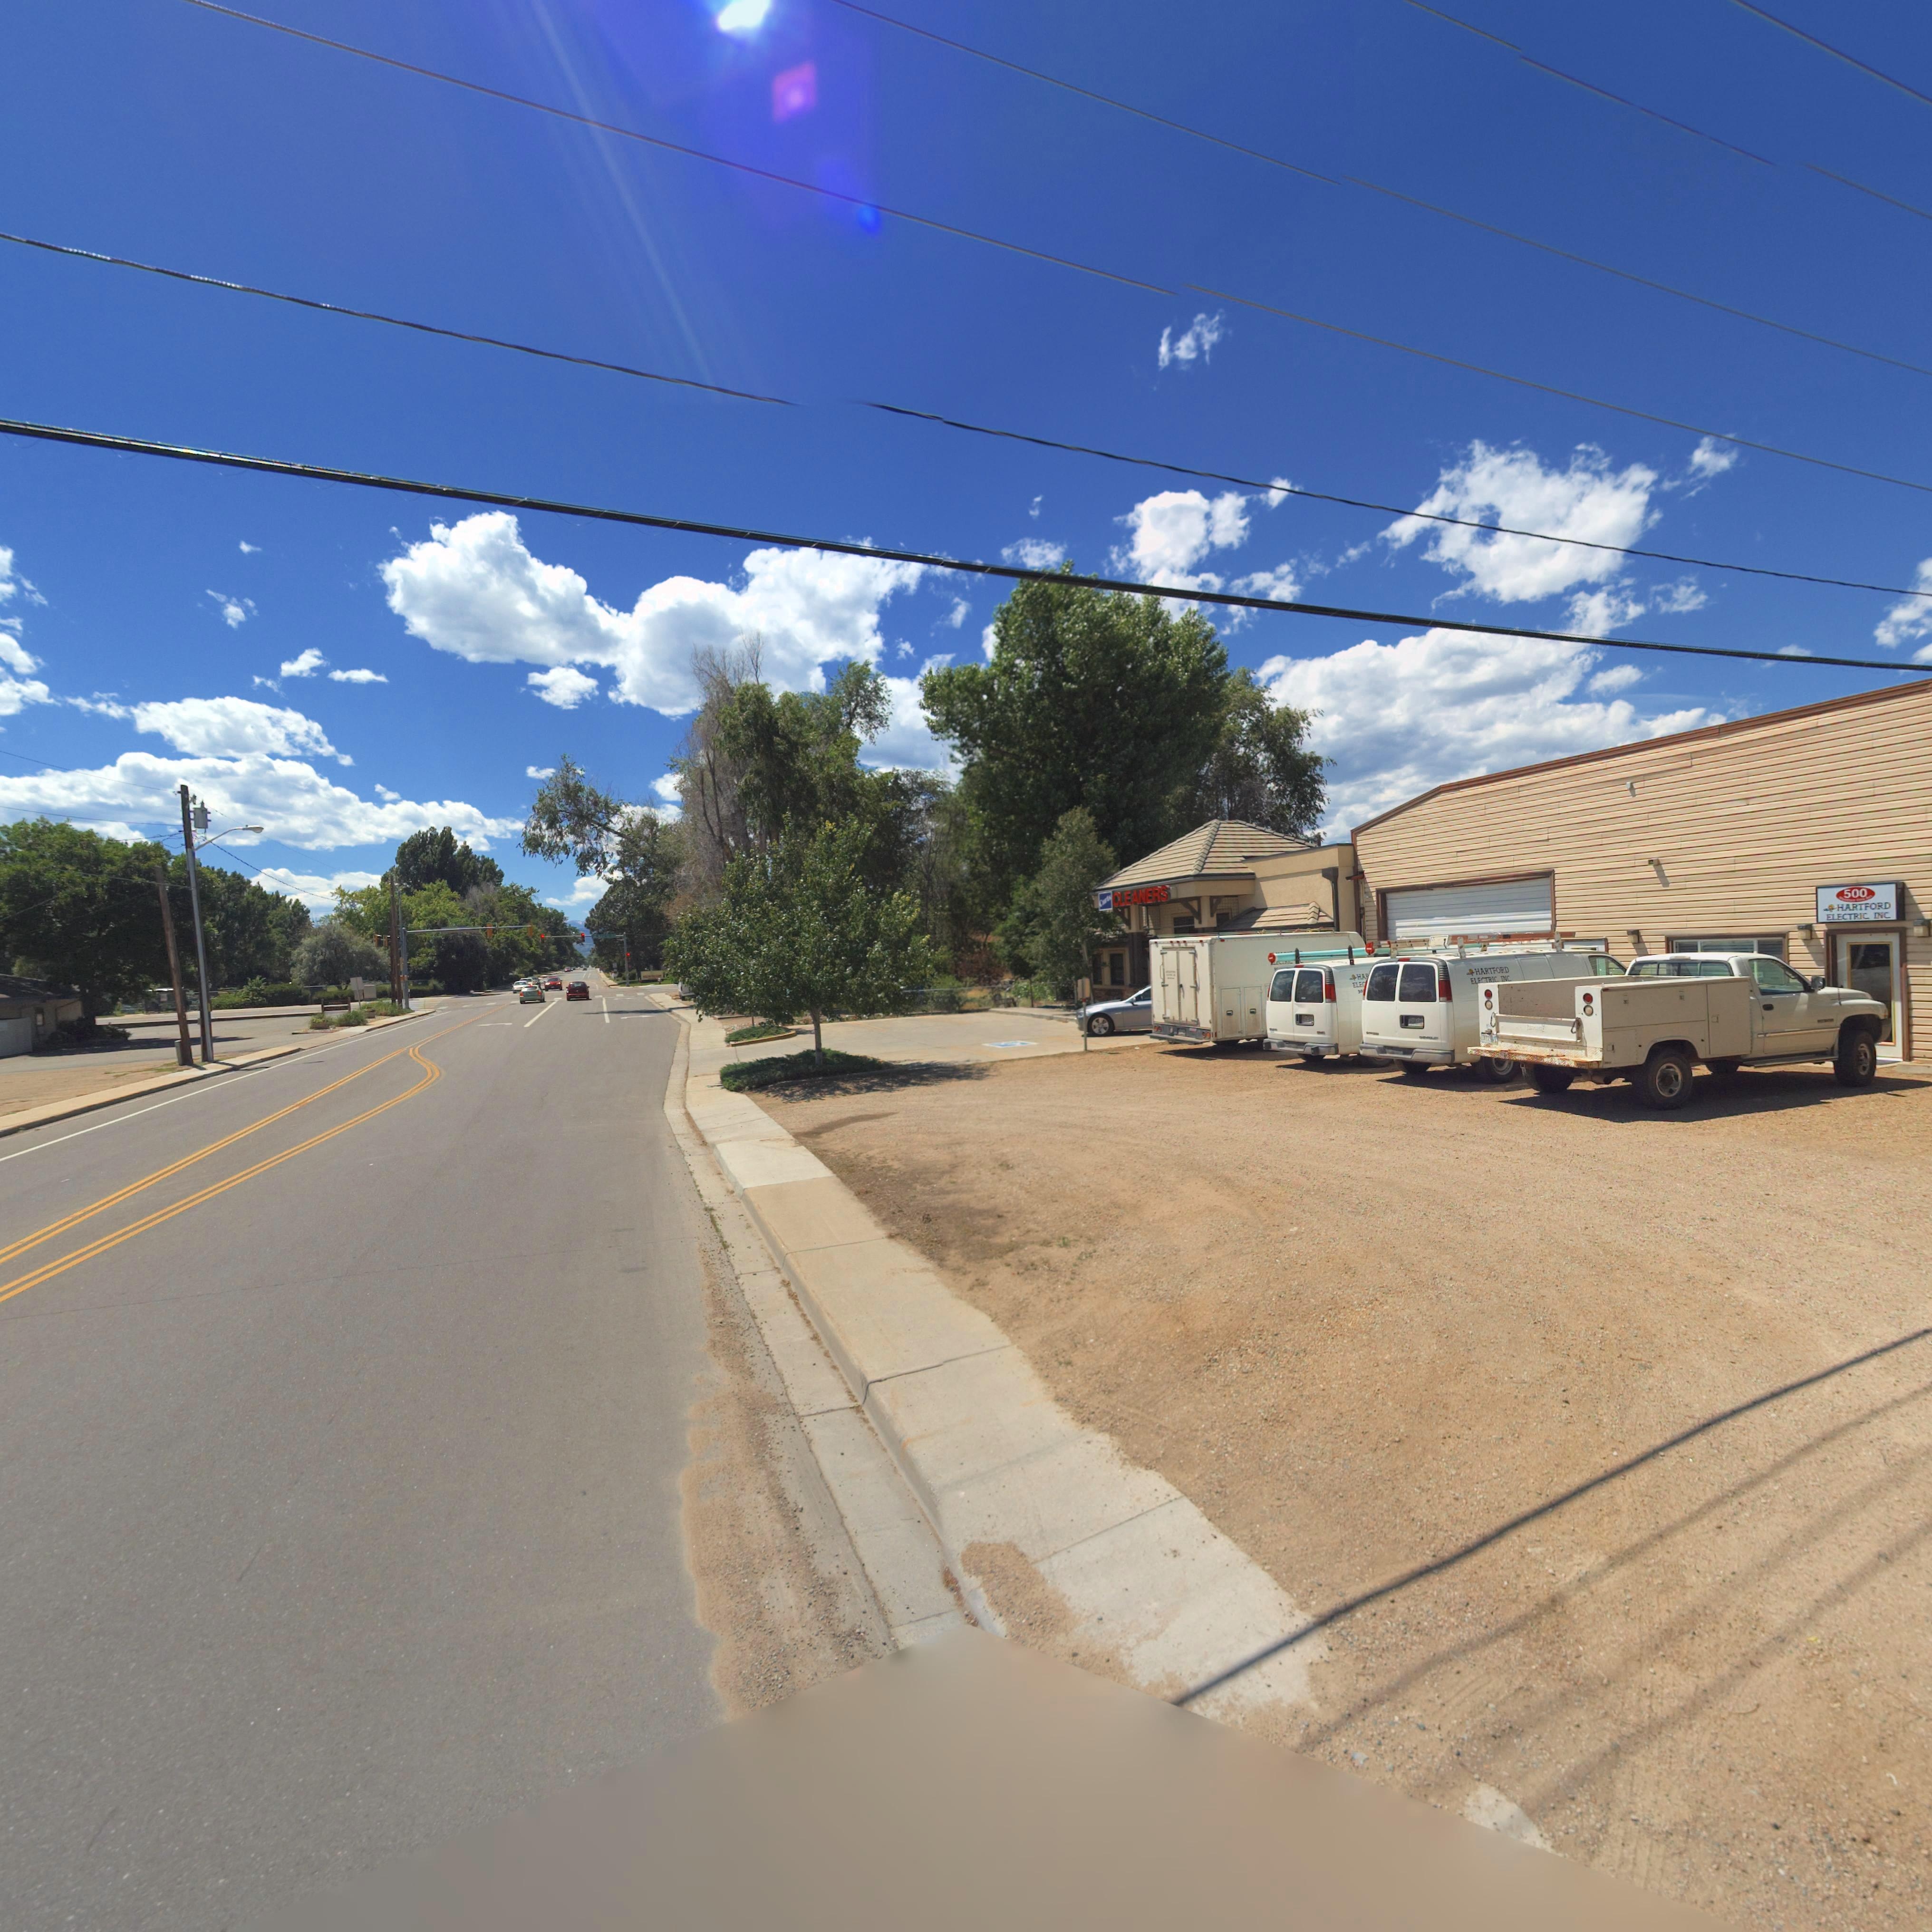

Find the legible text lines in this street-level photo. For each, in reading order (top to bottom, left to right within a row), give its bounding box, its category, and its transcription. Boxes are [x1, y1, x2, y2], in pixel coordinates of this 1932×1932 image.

[1098, 894, 1111, 907] BusinessName: C*rls
[1111, 884, 1169, 907] BusinessName: CLEANERS
[1843, 888, 1867, 898] StreetNumber: 500
[1836, 901, 1891, 911] BusinessName: HARTFORD
[1826, 911, 1891, 920] BusinessName: ELECTRIC INC